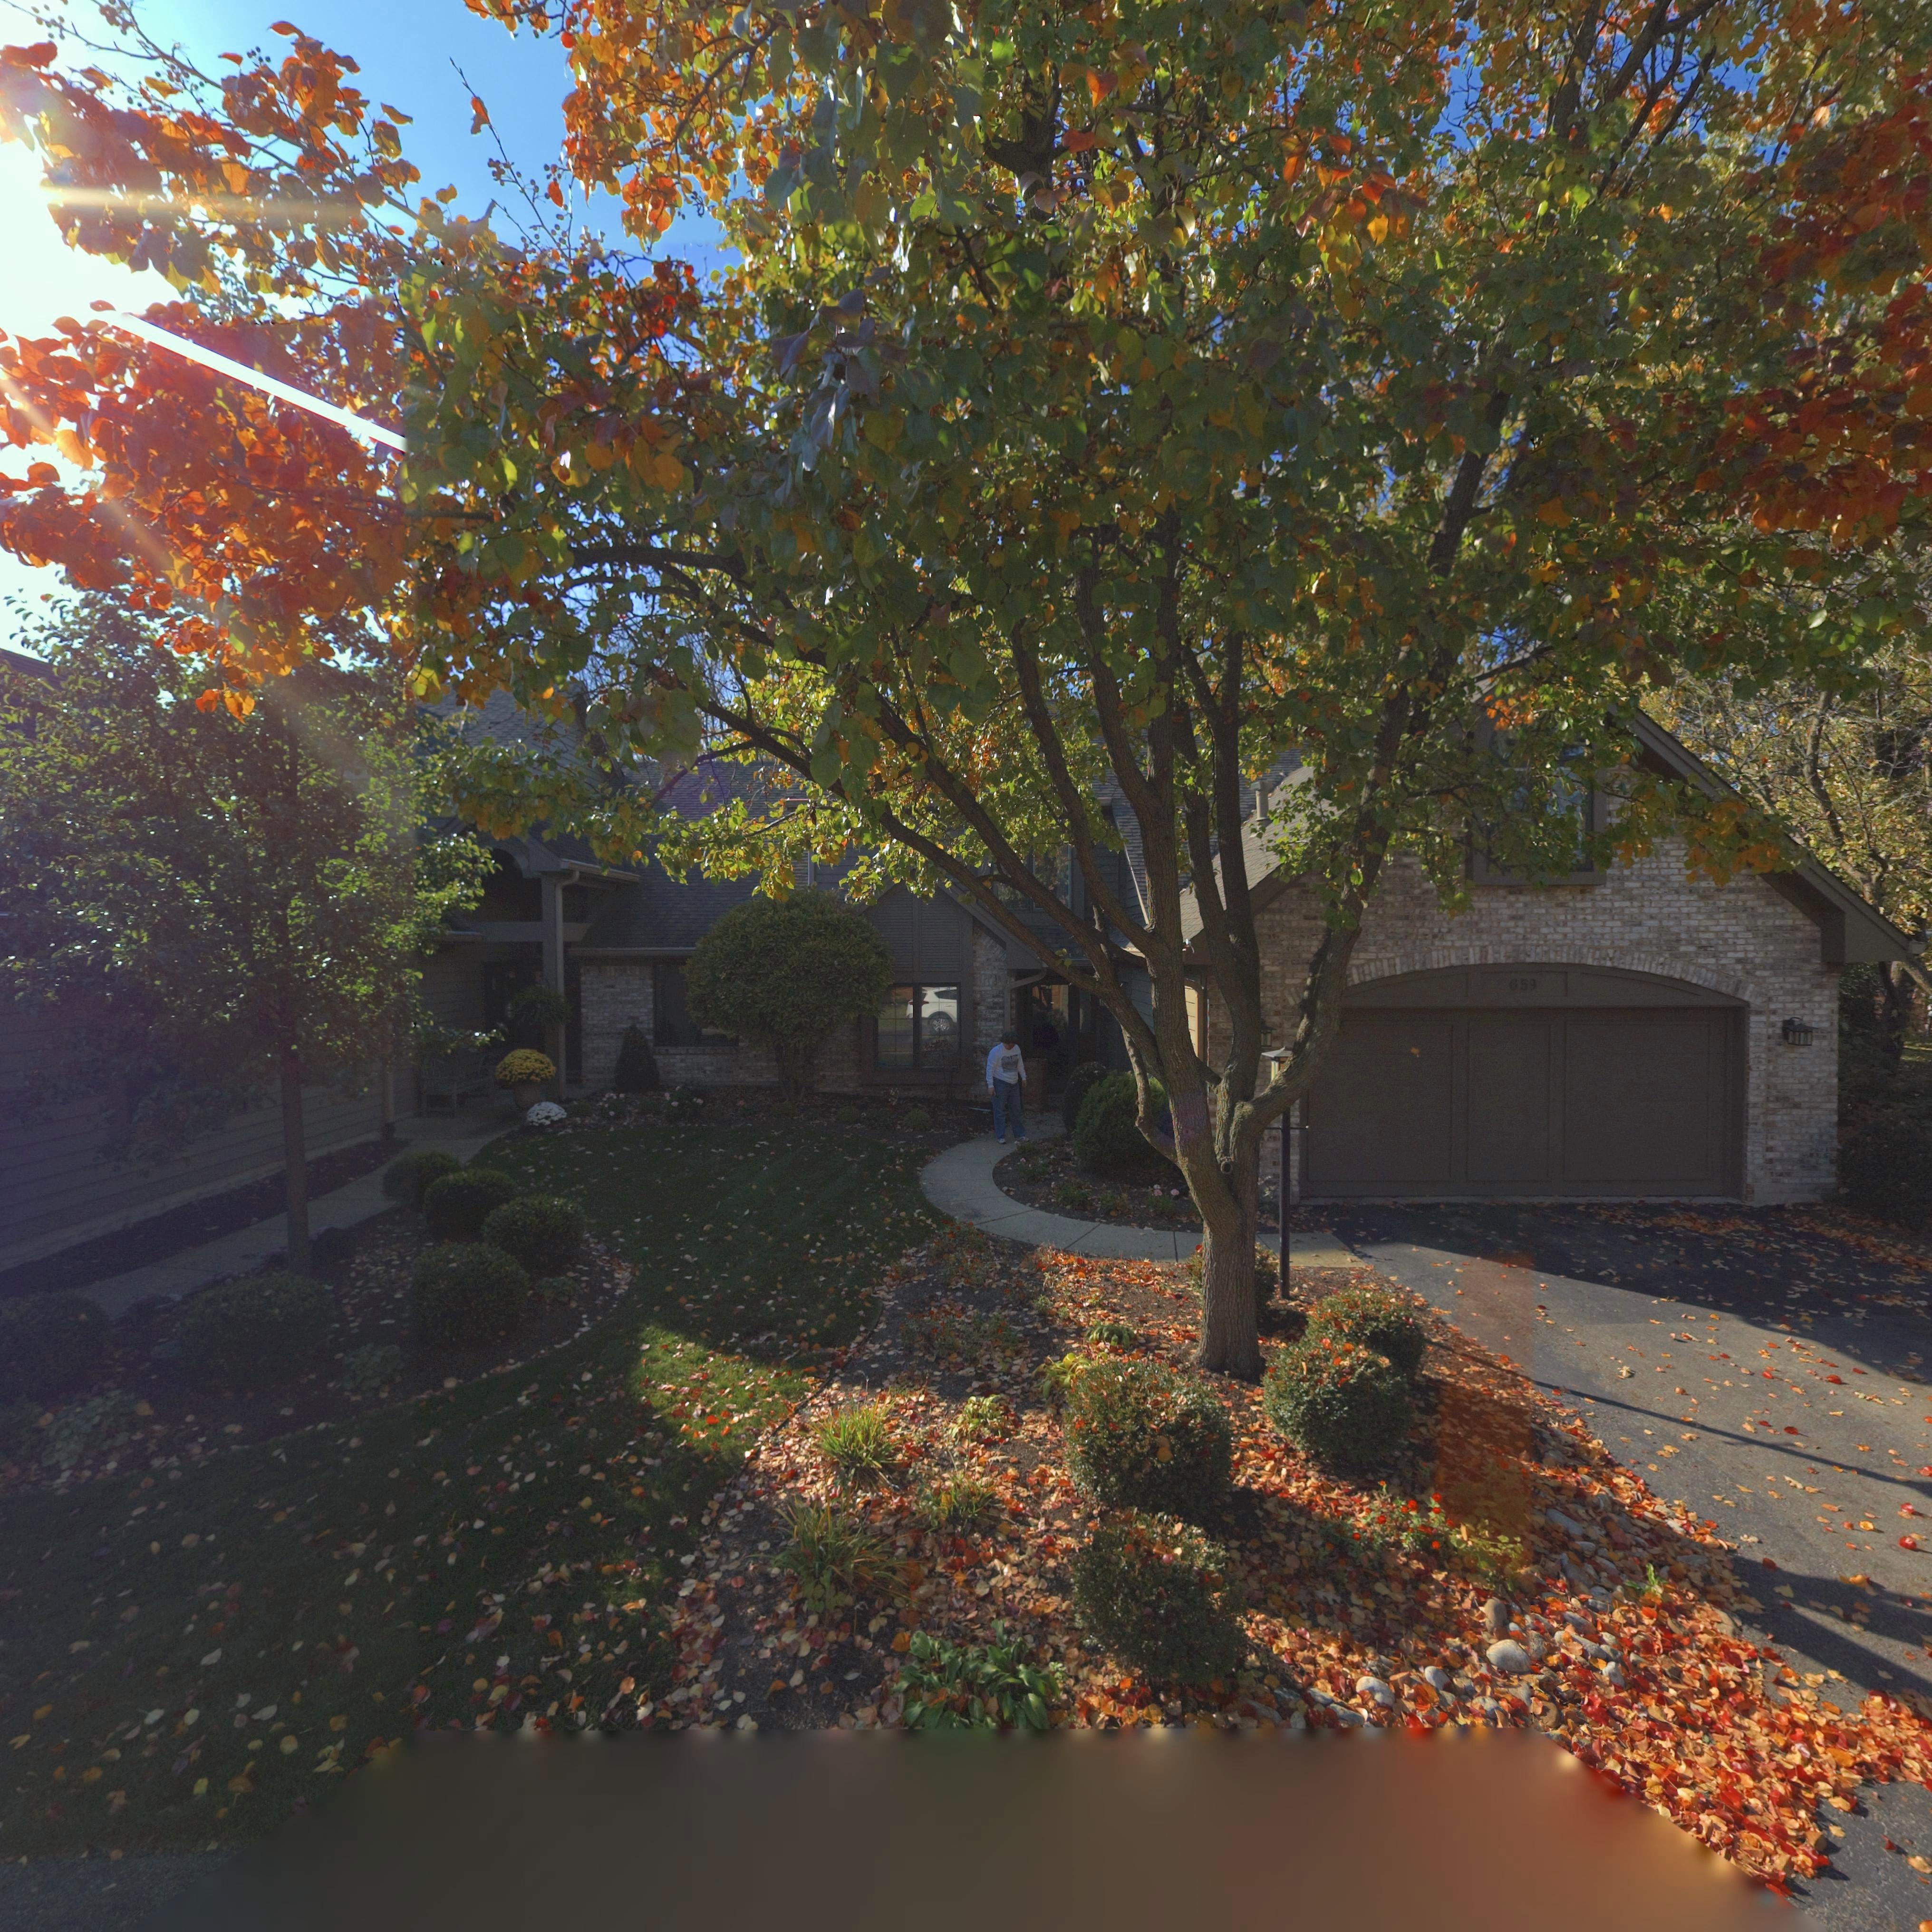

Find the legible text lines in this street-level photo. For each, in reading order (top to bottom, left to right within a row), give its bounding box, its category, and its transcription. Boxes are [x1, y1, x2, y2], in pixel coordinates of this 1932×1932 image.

[1507, 976, 1538, 993] StreetNumber: 659